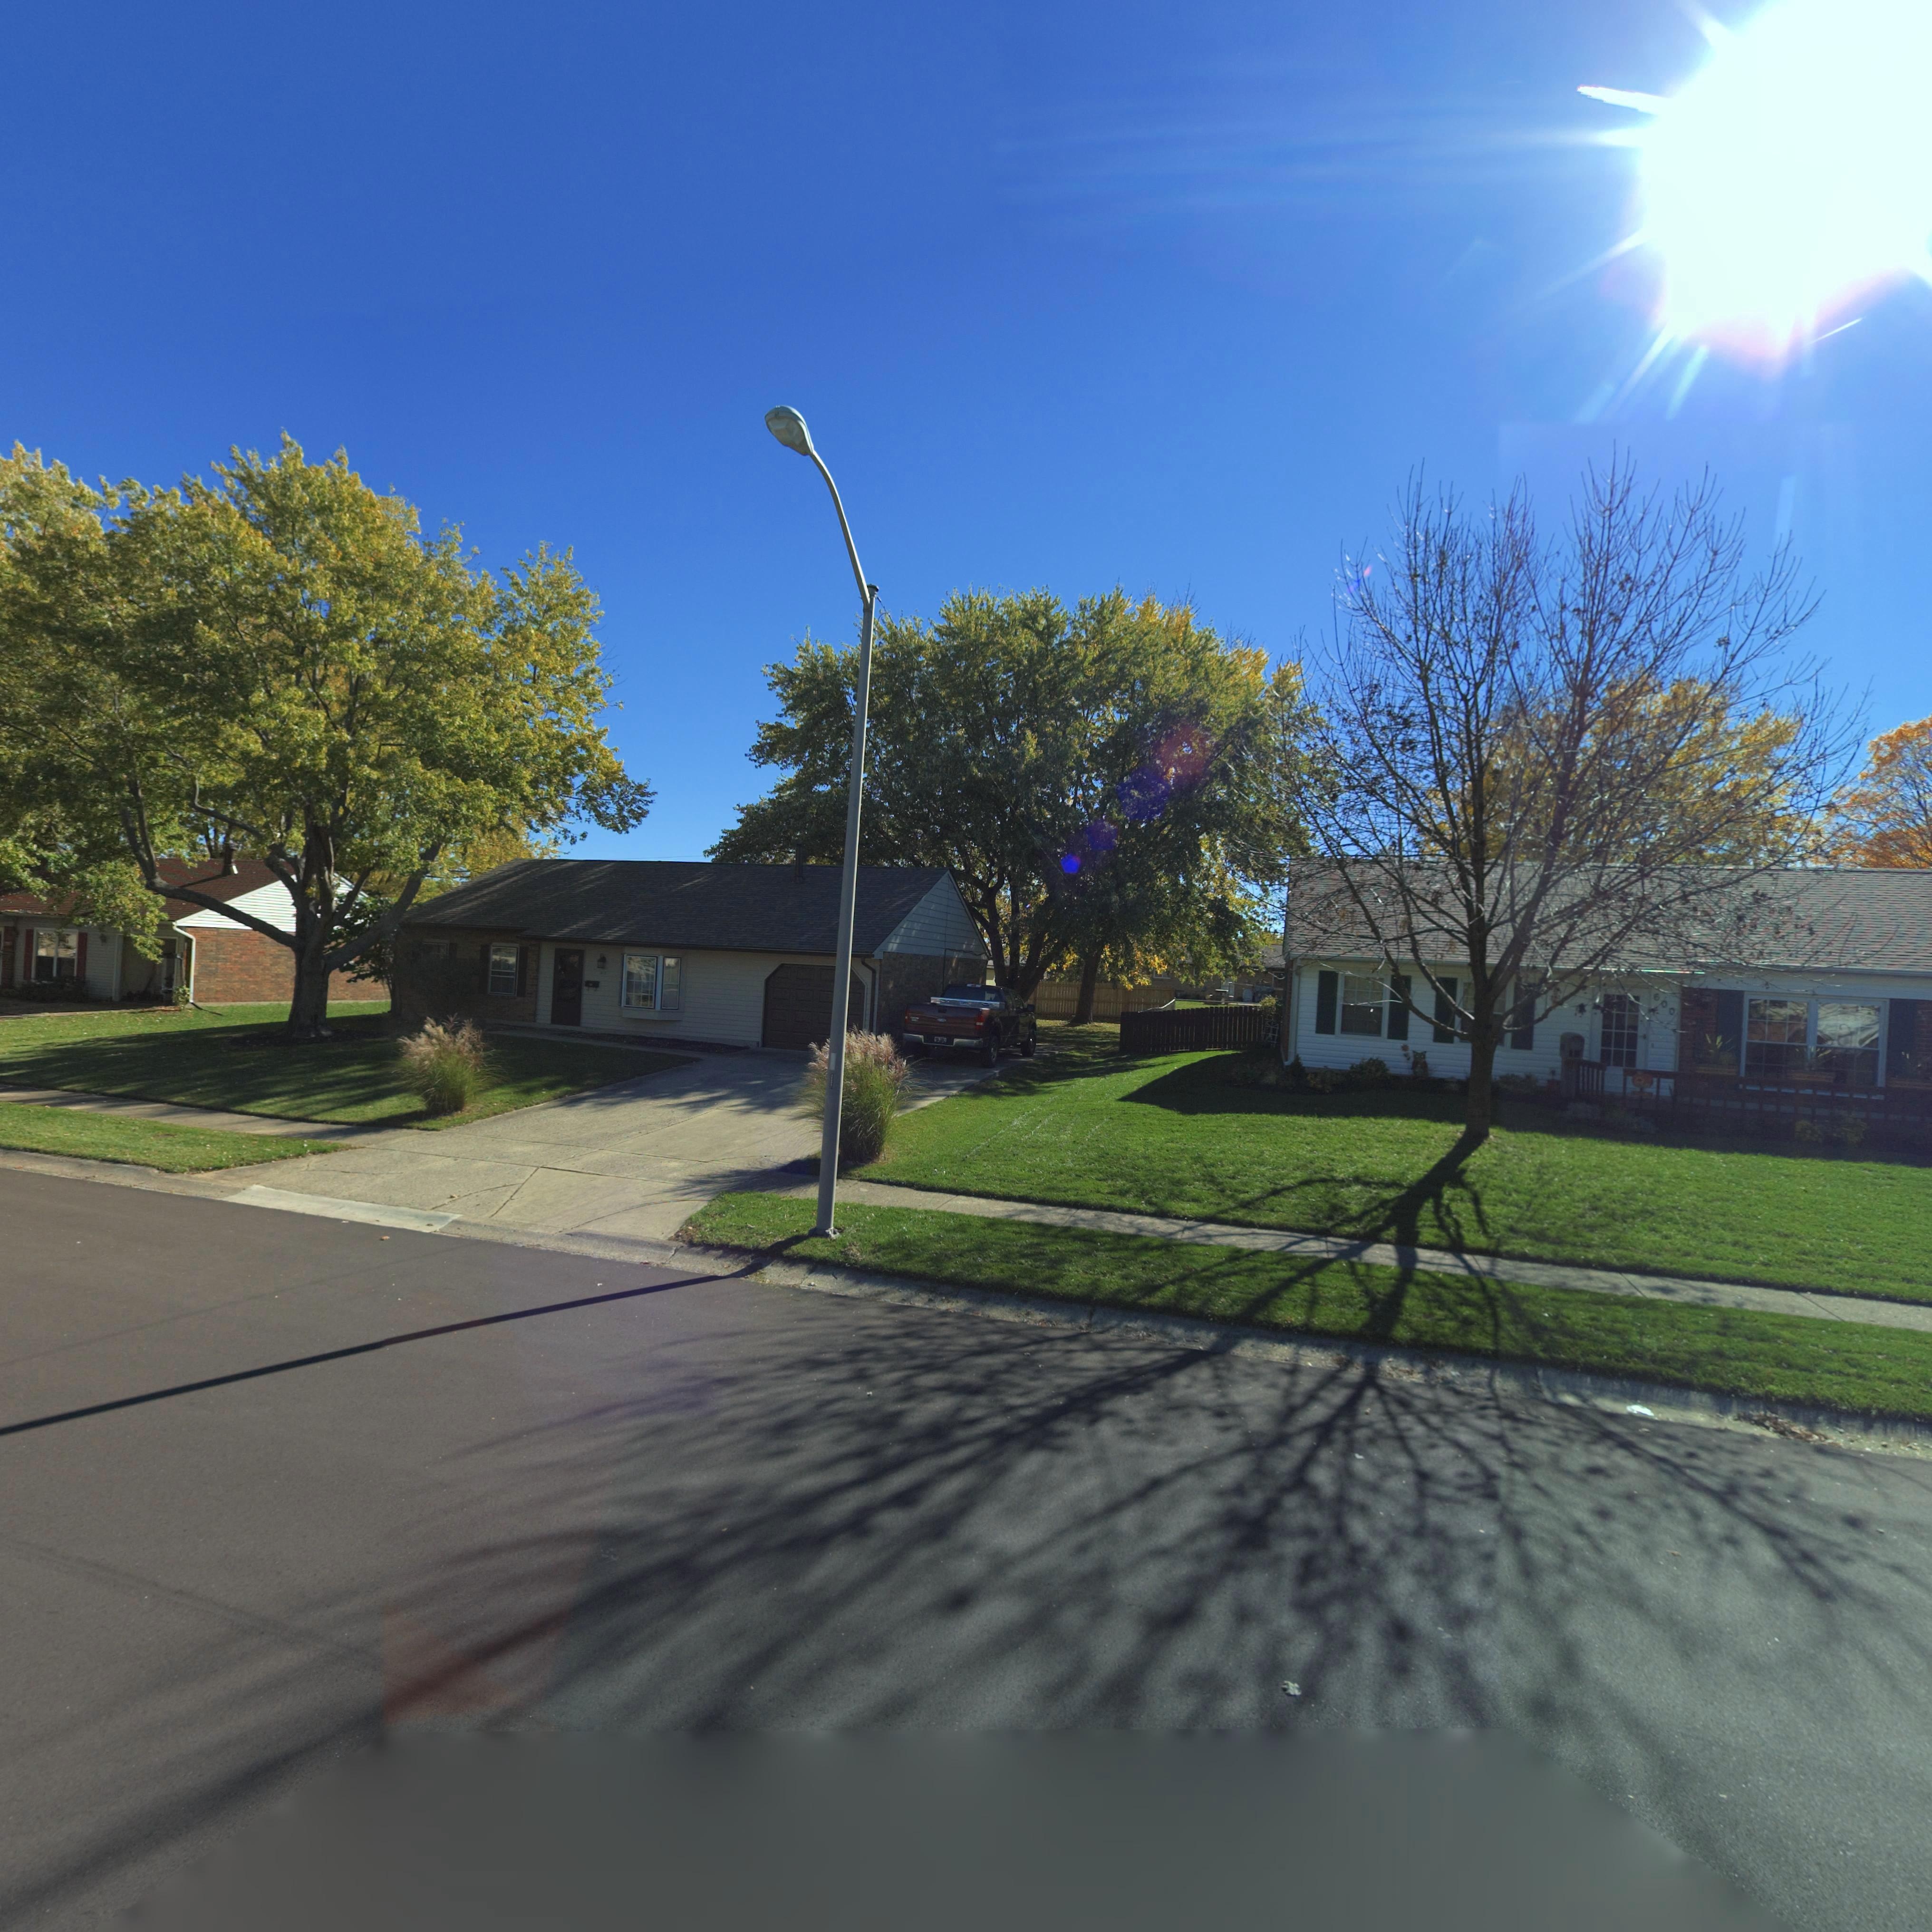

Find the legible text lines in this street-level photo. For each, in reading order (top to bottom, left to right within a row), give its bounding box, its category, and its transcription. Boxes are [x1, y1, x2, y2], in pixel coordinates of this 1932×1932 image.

[1653, 993, 1676, 1016] StreetNumber: 600